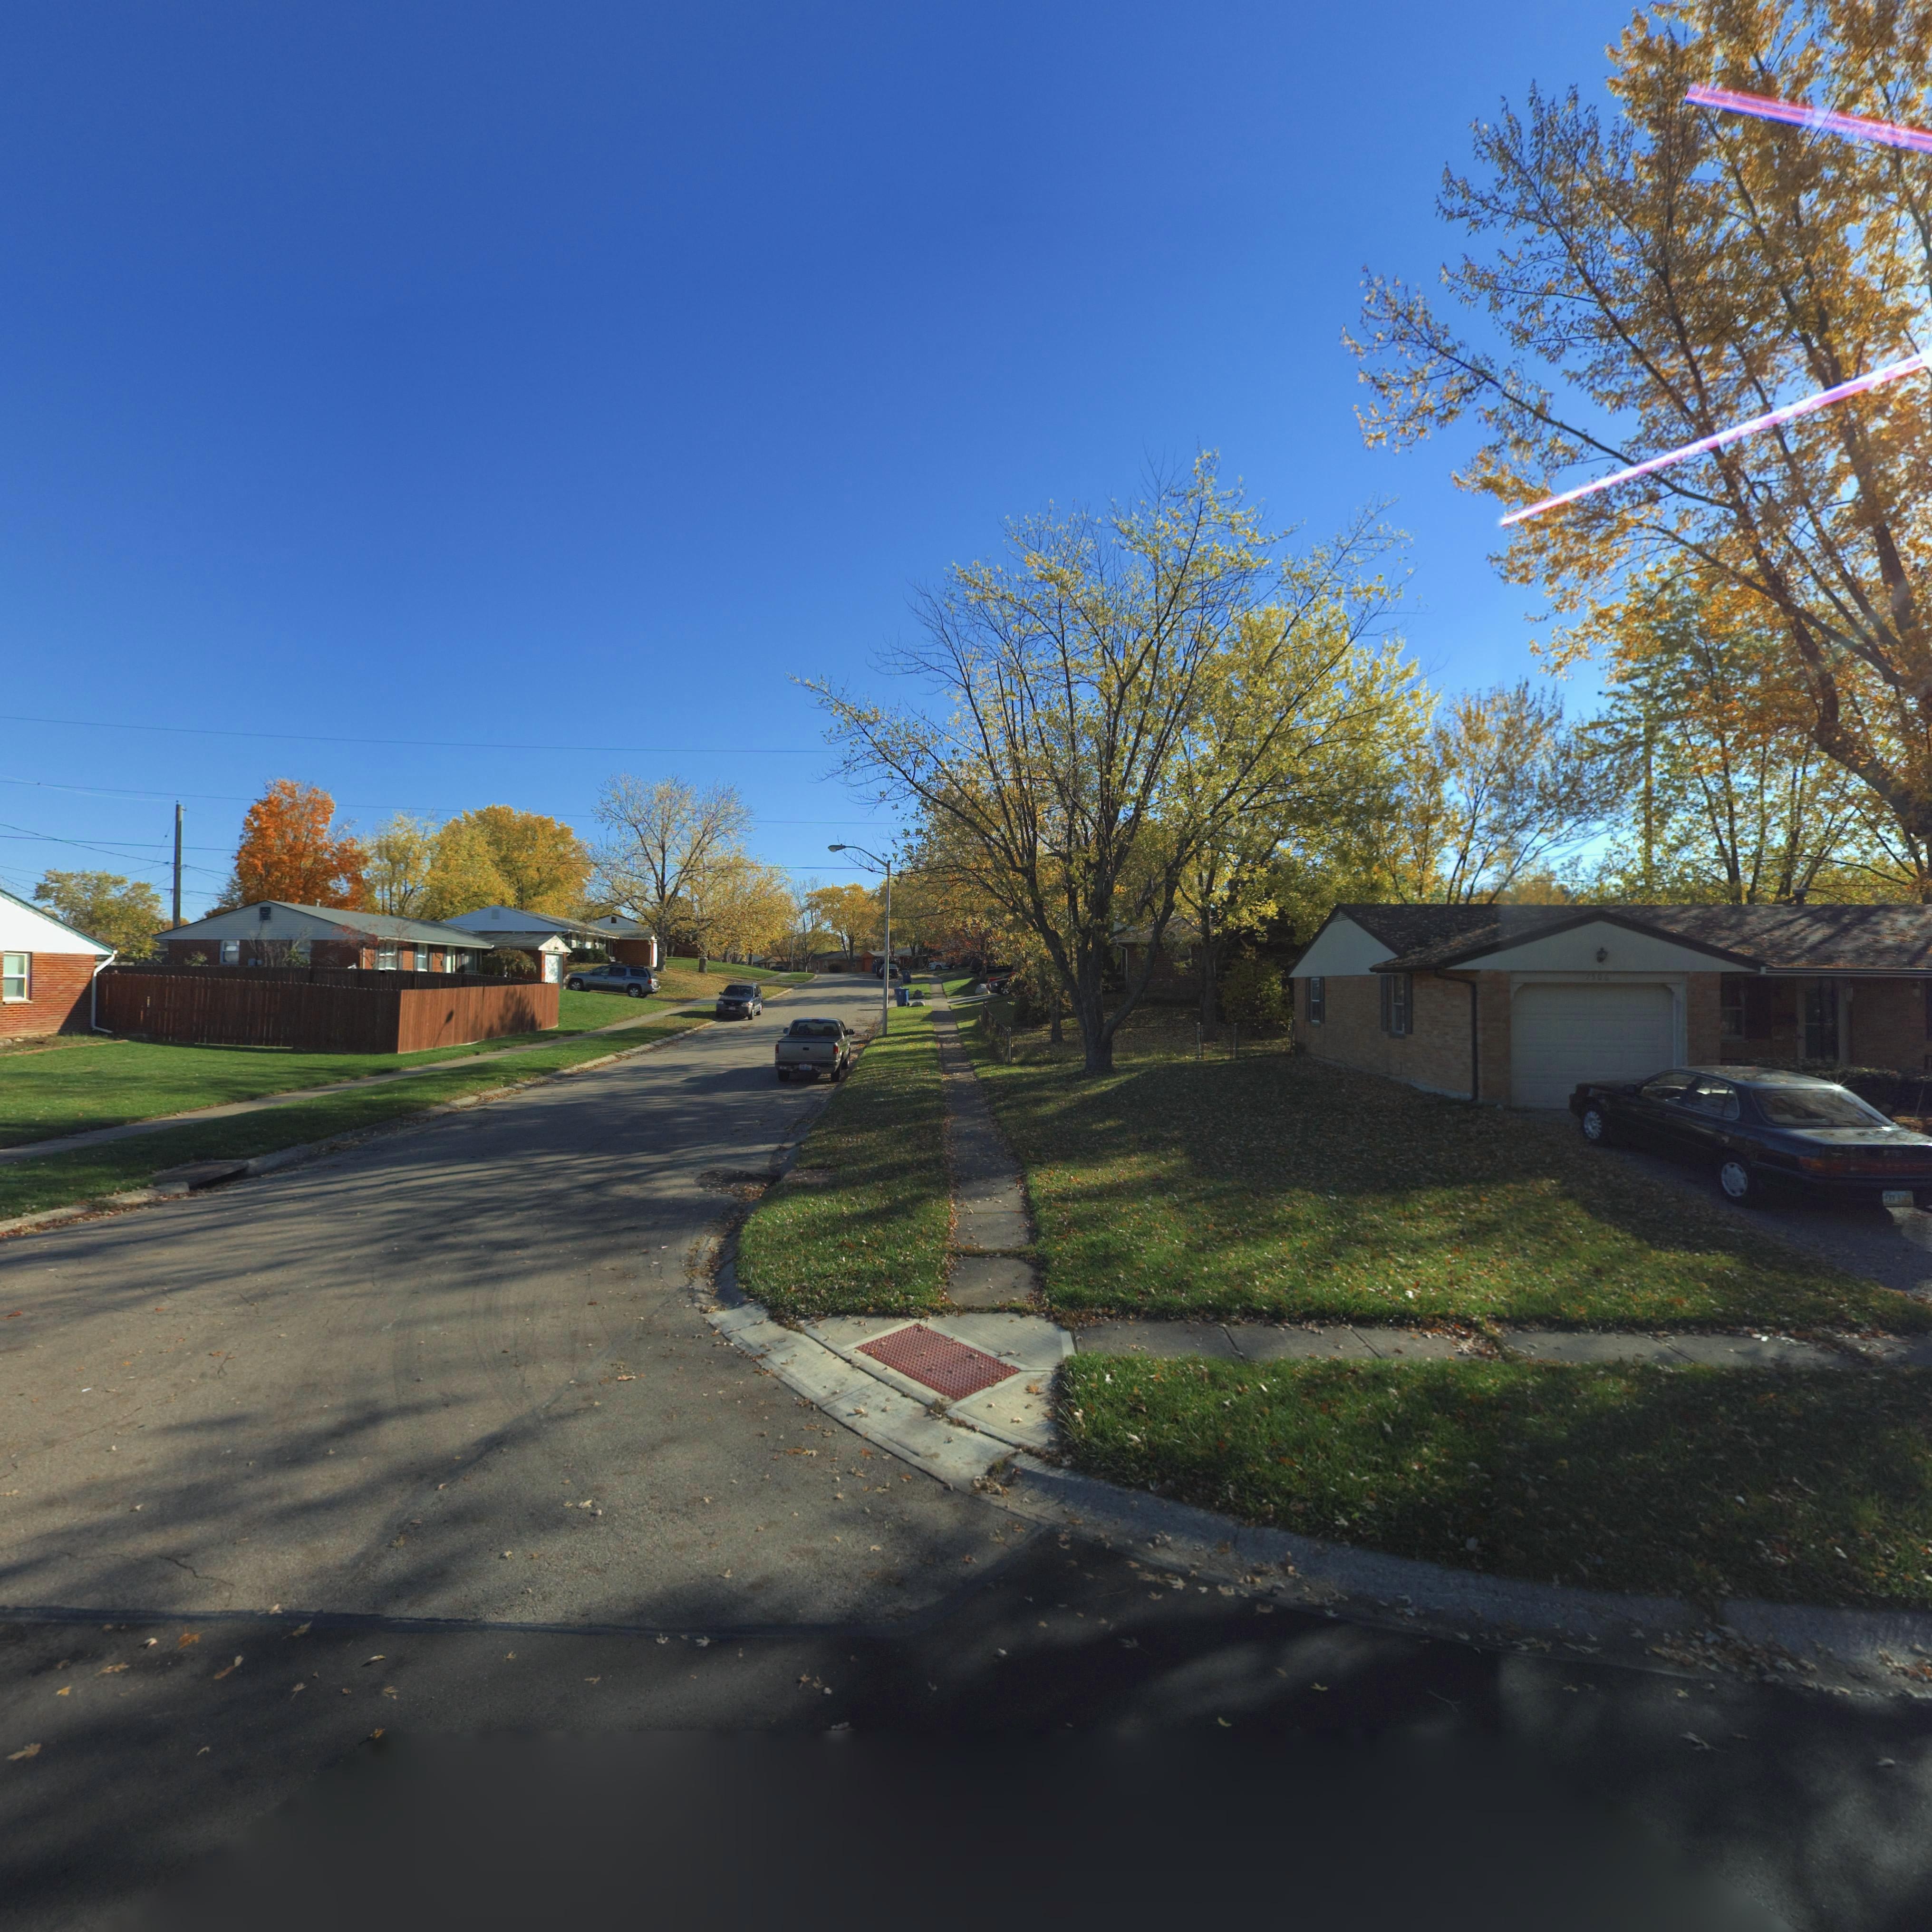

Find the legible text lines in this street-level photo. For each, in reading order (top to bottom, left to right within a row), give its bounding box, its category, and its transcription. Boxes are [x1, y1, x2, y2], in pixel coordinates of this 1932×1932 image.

[1584, 973, 1610, 982] StreetNumber: 7506